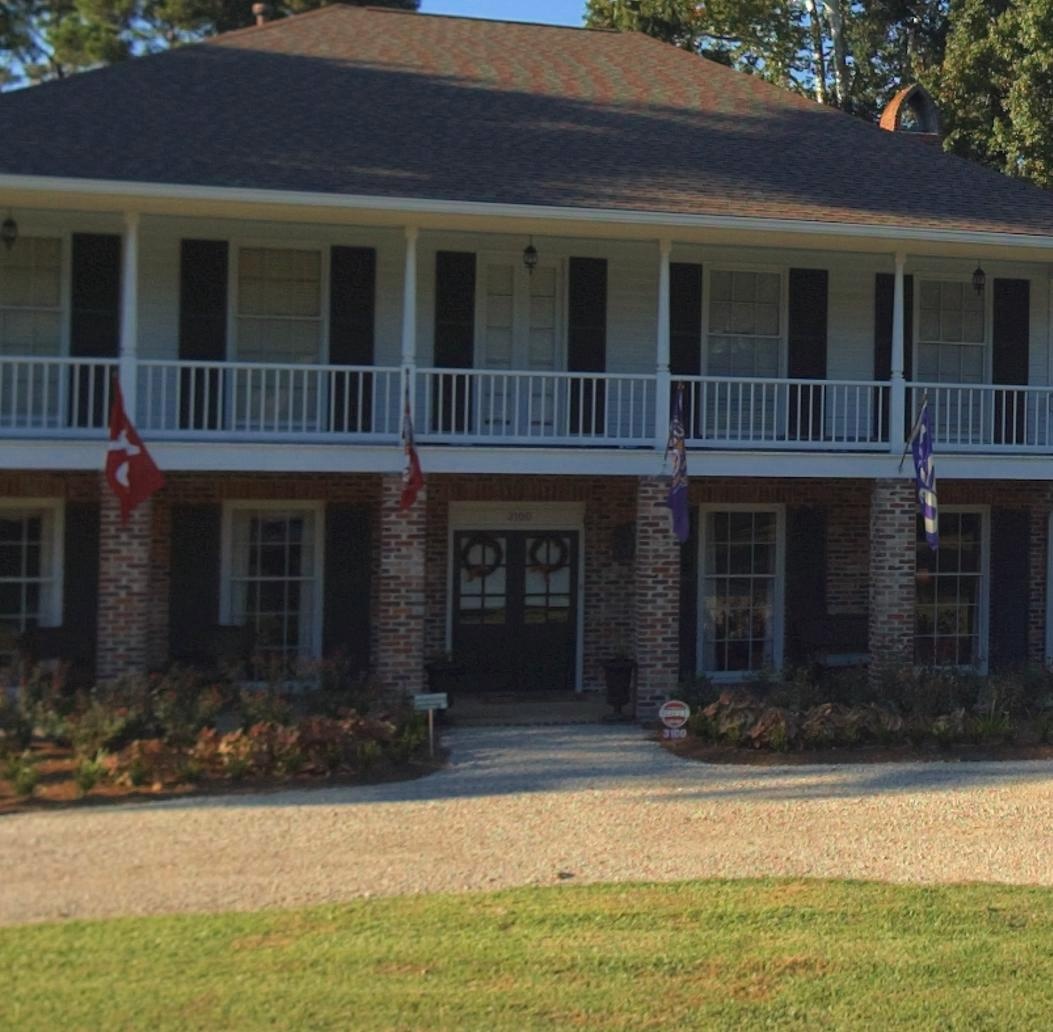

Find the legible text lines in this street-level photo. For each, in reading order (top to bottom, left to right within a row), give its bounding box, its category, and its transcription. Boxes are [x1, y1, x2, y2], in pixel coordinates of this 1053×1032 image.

[505, 509, 534, 523] StreetNumber: 3100
[662, 728, 688, 739] StreetNumber: 3100